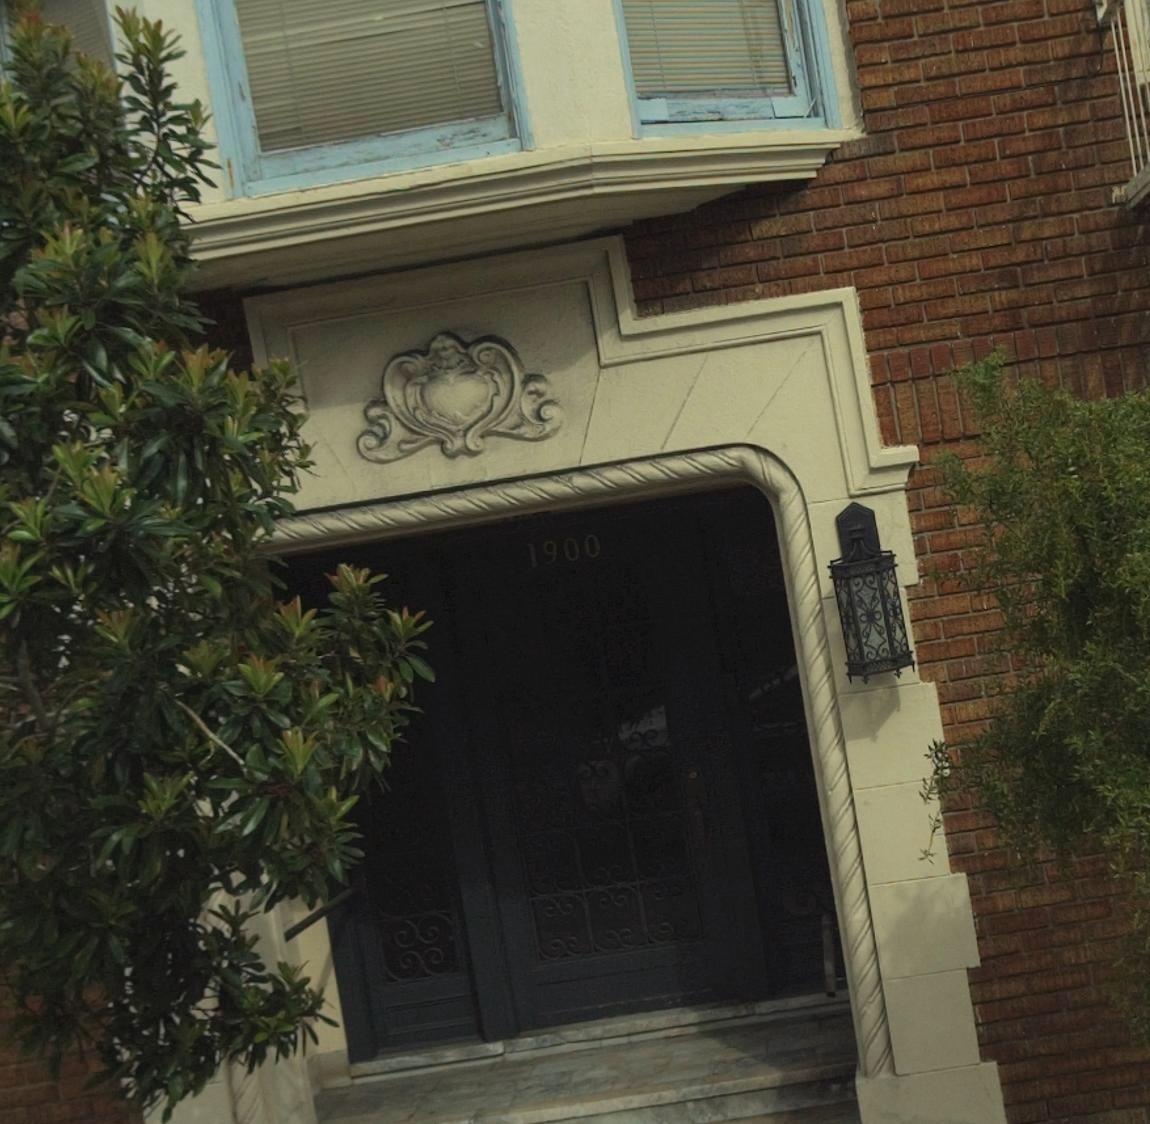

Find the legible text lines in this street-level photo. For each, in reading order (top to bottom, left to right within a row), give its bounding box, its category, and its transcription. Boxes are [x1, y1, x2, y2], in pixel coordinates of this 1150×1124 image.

[523, 530, 604, 573] StreetNumber: 1900